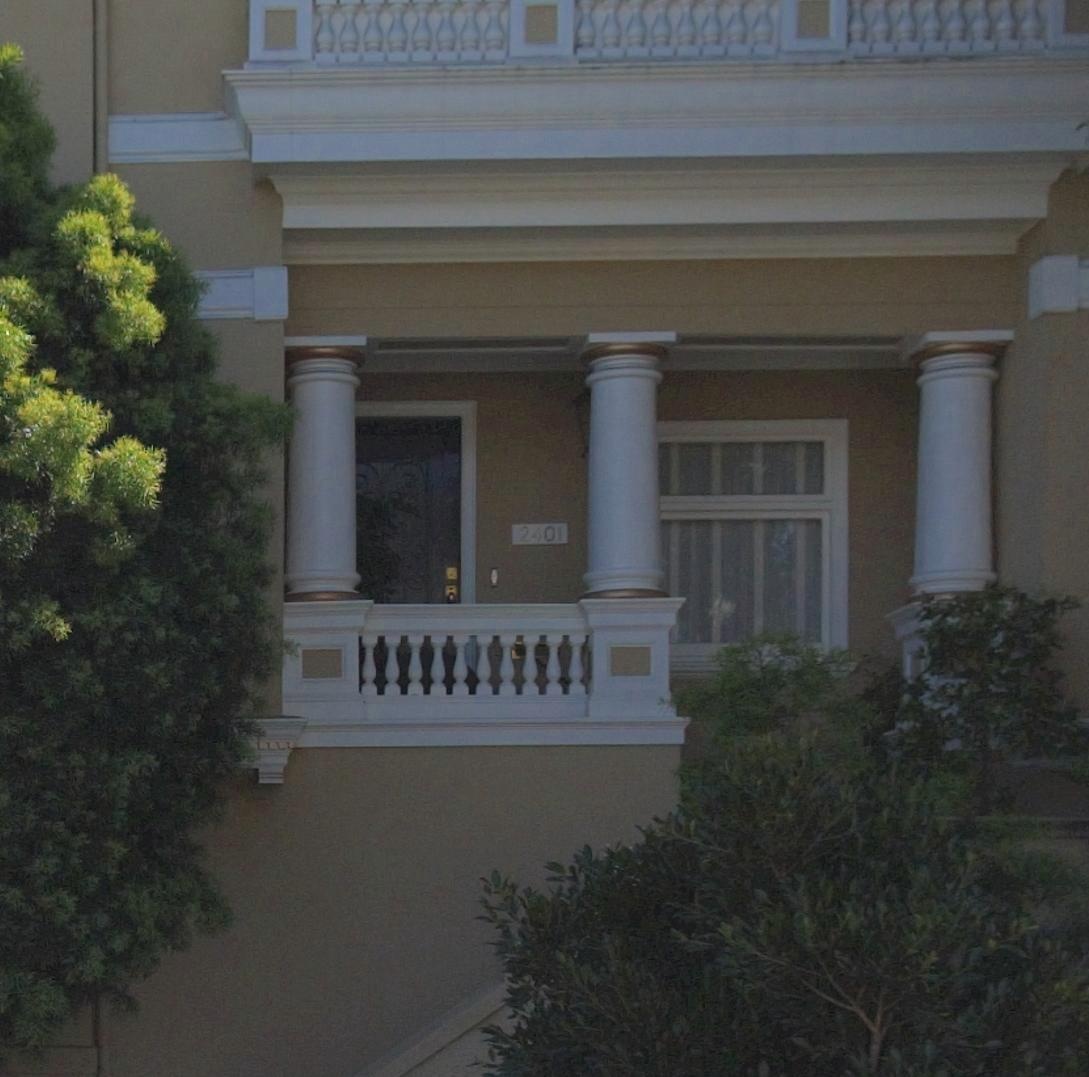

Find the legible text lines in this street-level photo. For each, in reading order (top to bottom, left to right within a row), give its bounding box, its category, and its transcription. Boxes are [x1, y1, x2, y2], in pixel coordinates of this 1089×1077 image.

[516, 525, 563, 543] StreetNumber: 2401